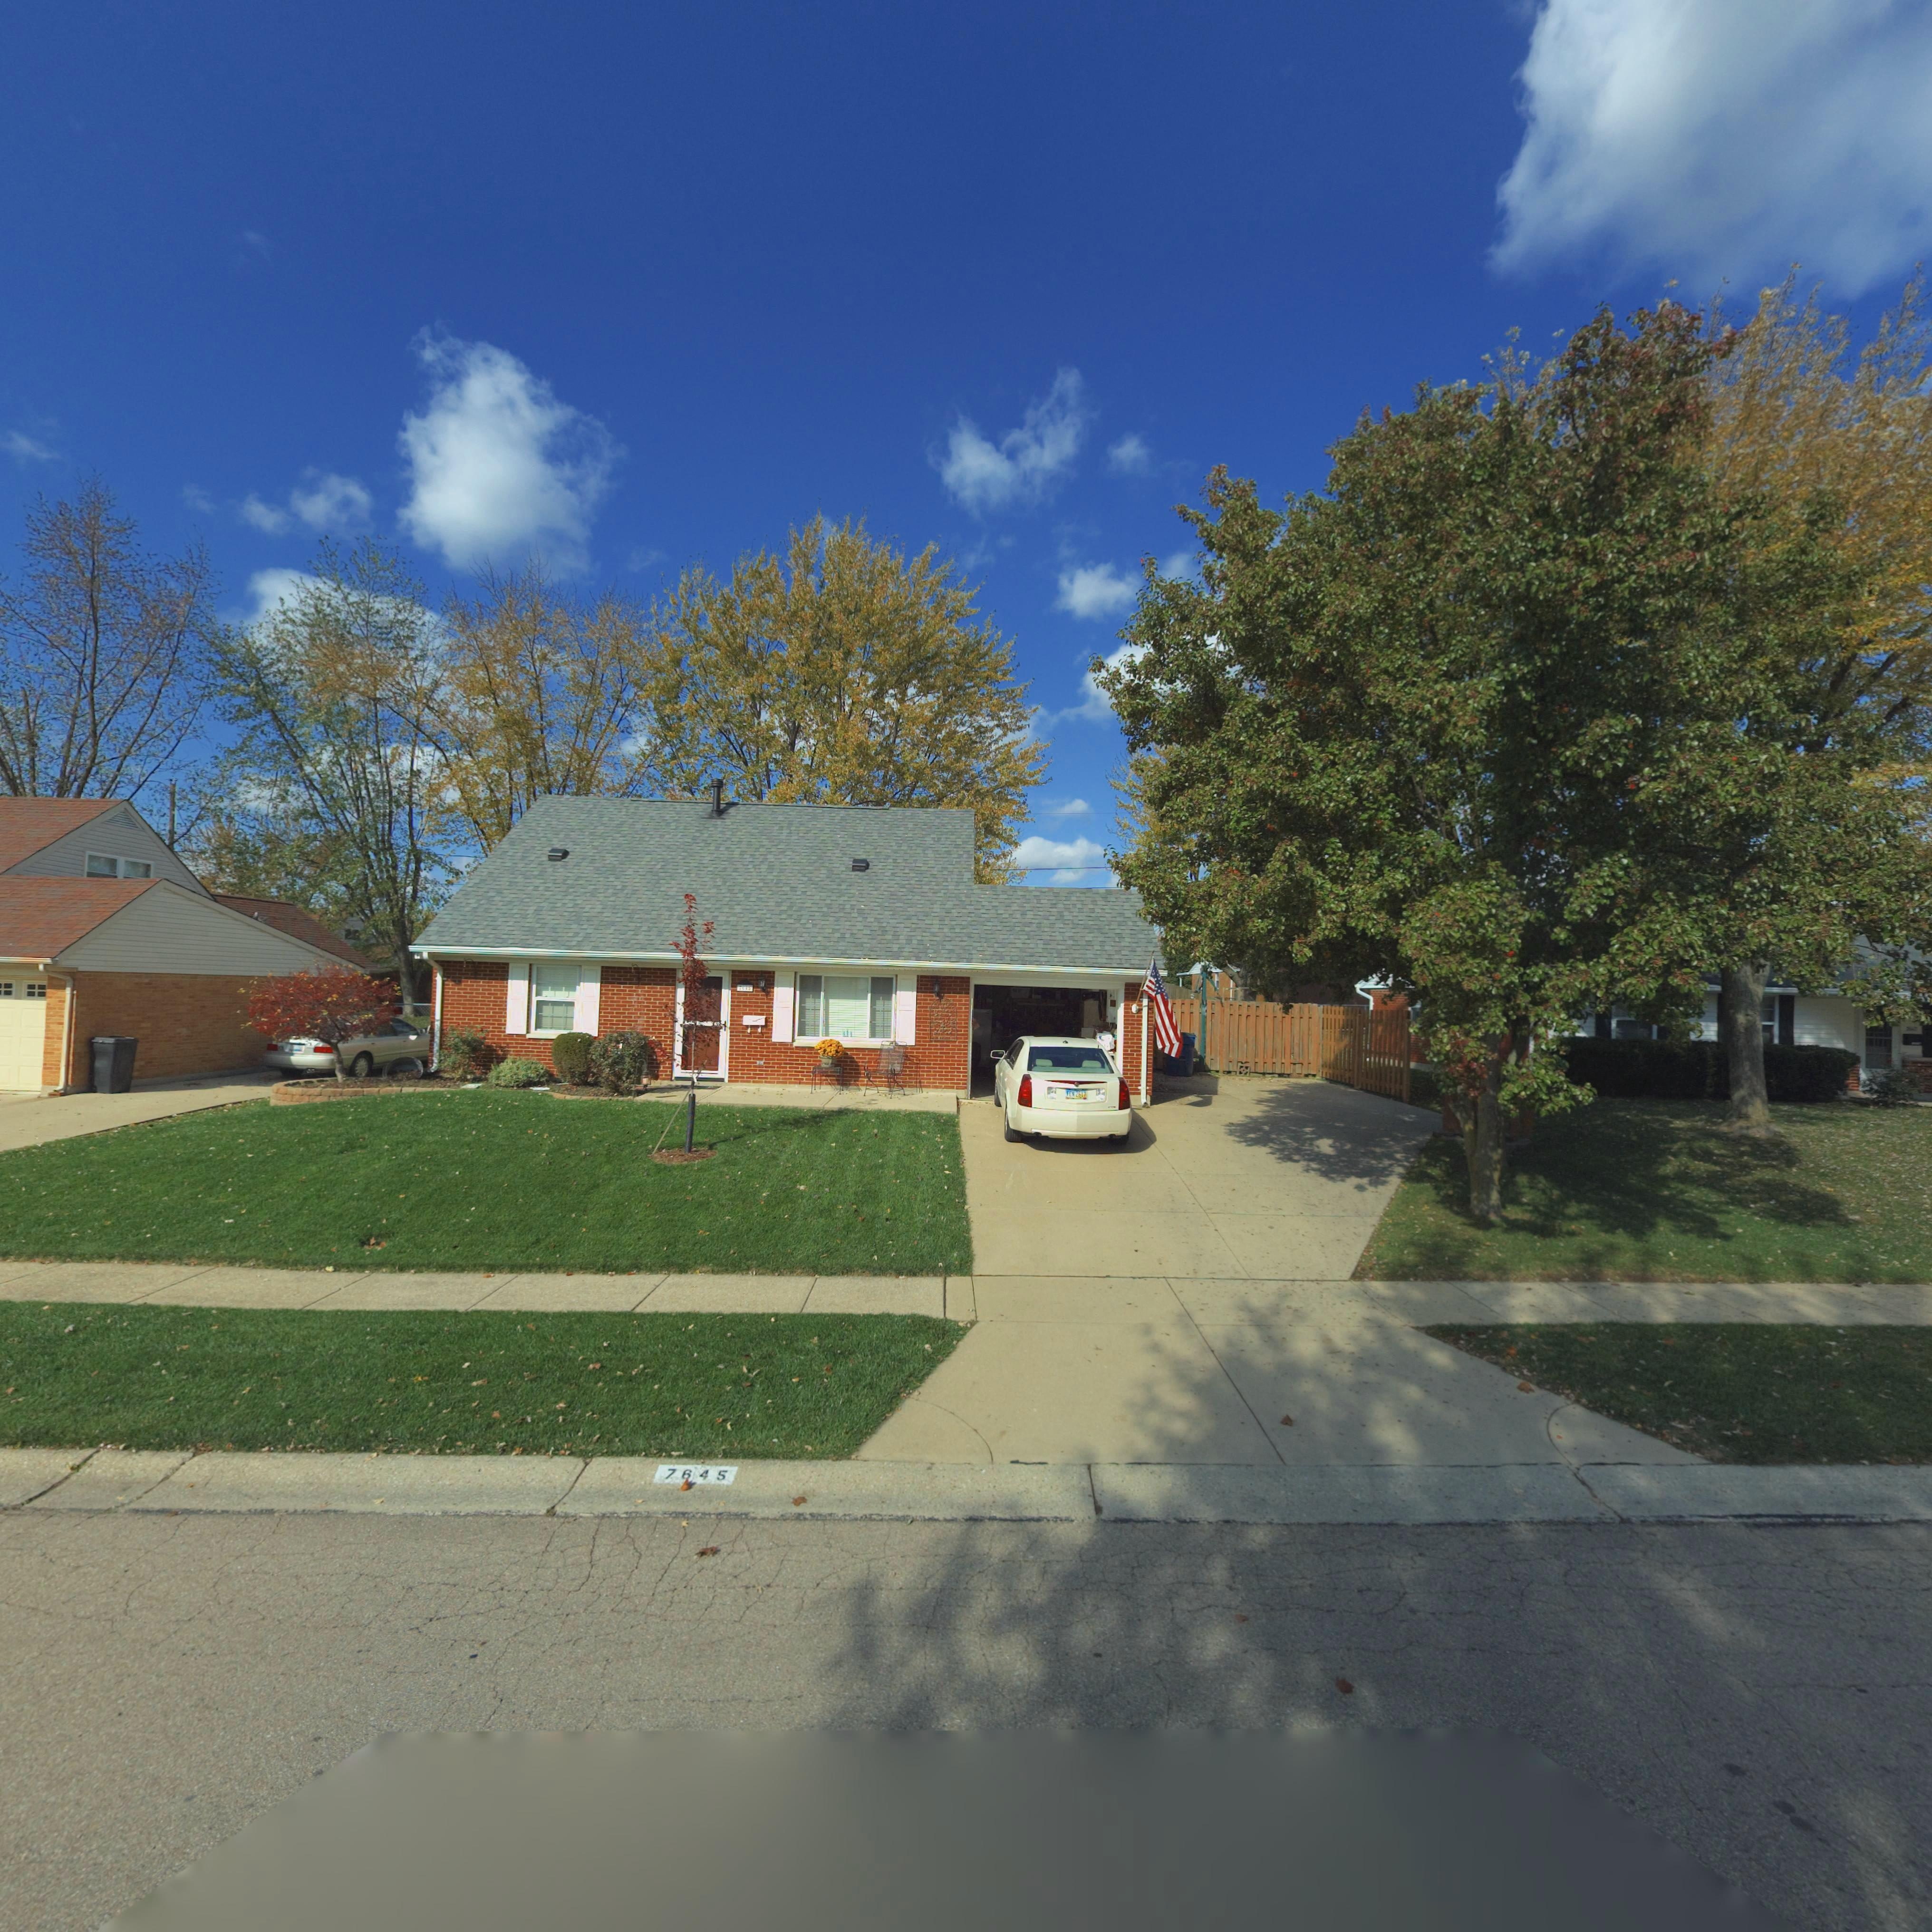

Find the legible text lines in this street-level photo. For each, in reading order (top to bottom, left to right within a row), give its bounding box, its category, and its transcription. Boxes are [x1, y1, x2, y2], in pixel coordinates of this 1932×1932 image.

[738, 985, 752, 991] StreetNumber: 7645
[1904, 1026, 1918, 1032] None: 7**7
[664, 1468, 729, 1481] StreetNumber: 7645